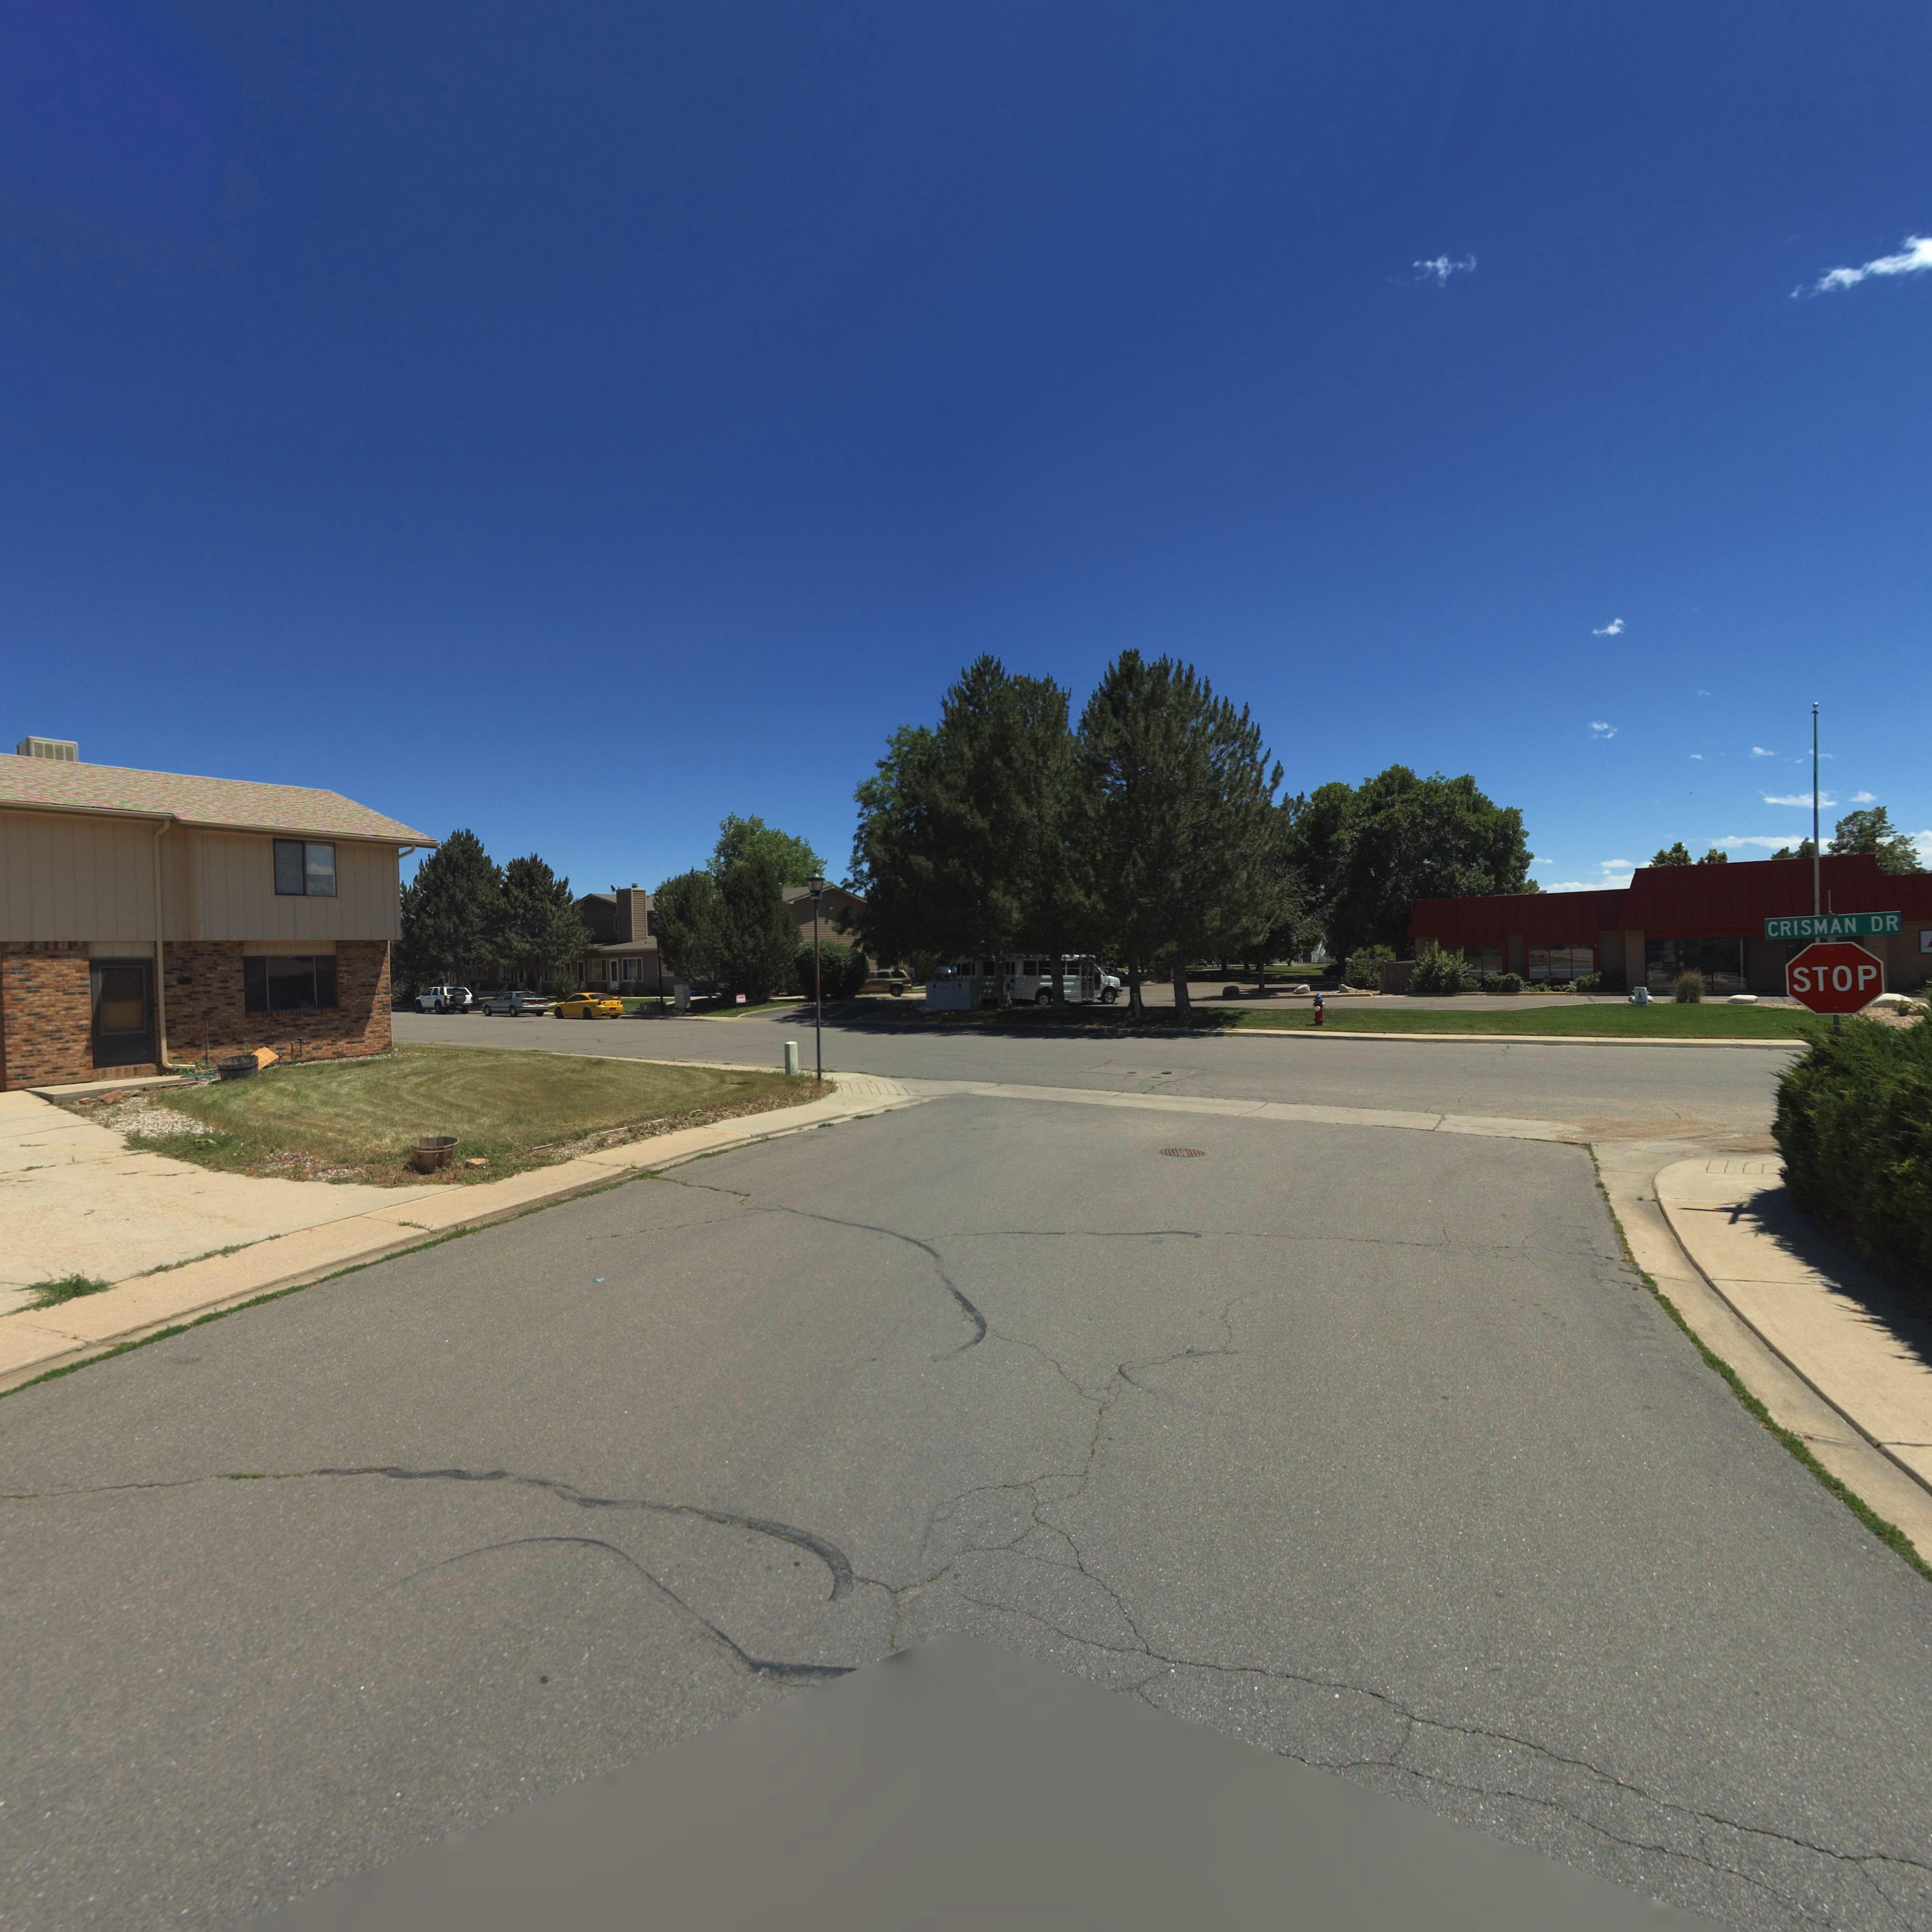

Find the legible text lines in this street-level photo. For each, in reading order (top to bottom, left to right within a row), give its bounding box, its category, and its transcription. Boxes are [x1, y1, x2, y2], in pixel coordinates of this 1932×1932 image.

[1766, 914, 1899, 937] StreetName: CRISMAN DR